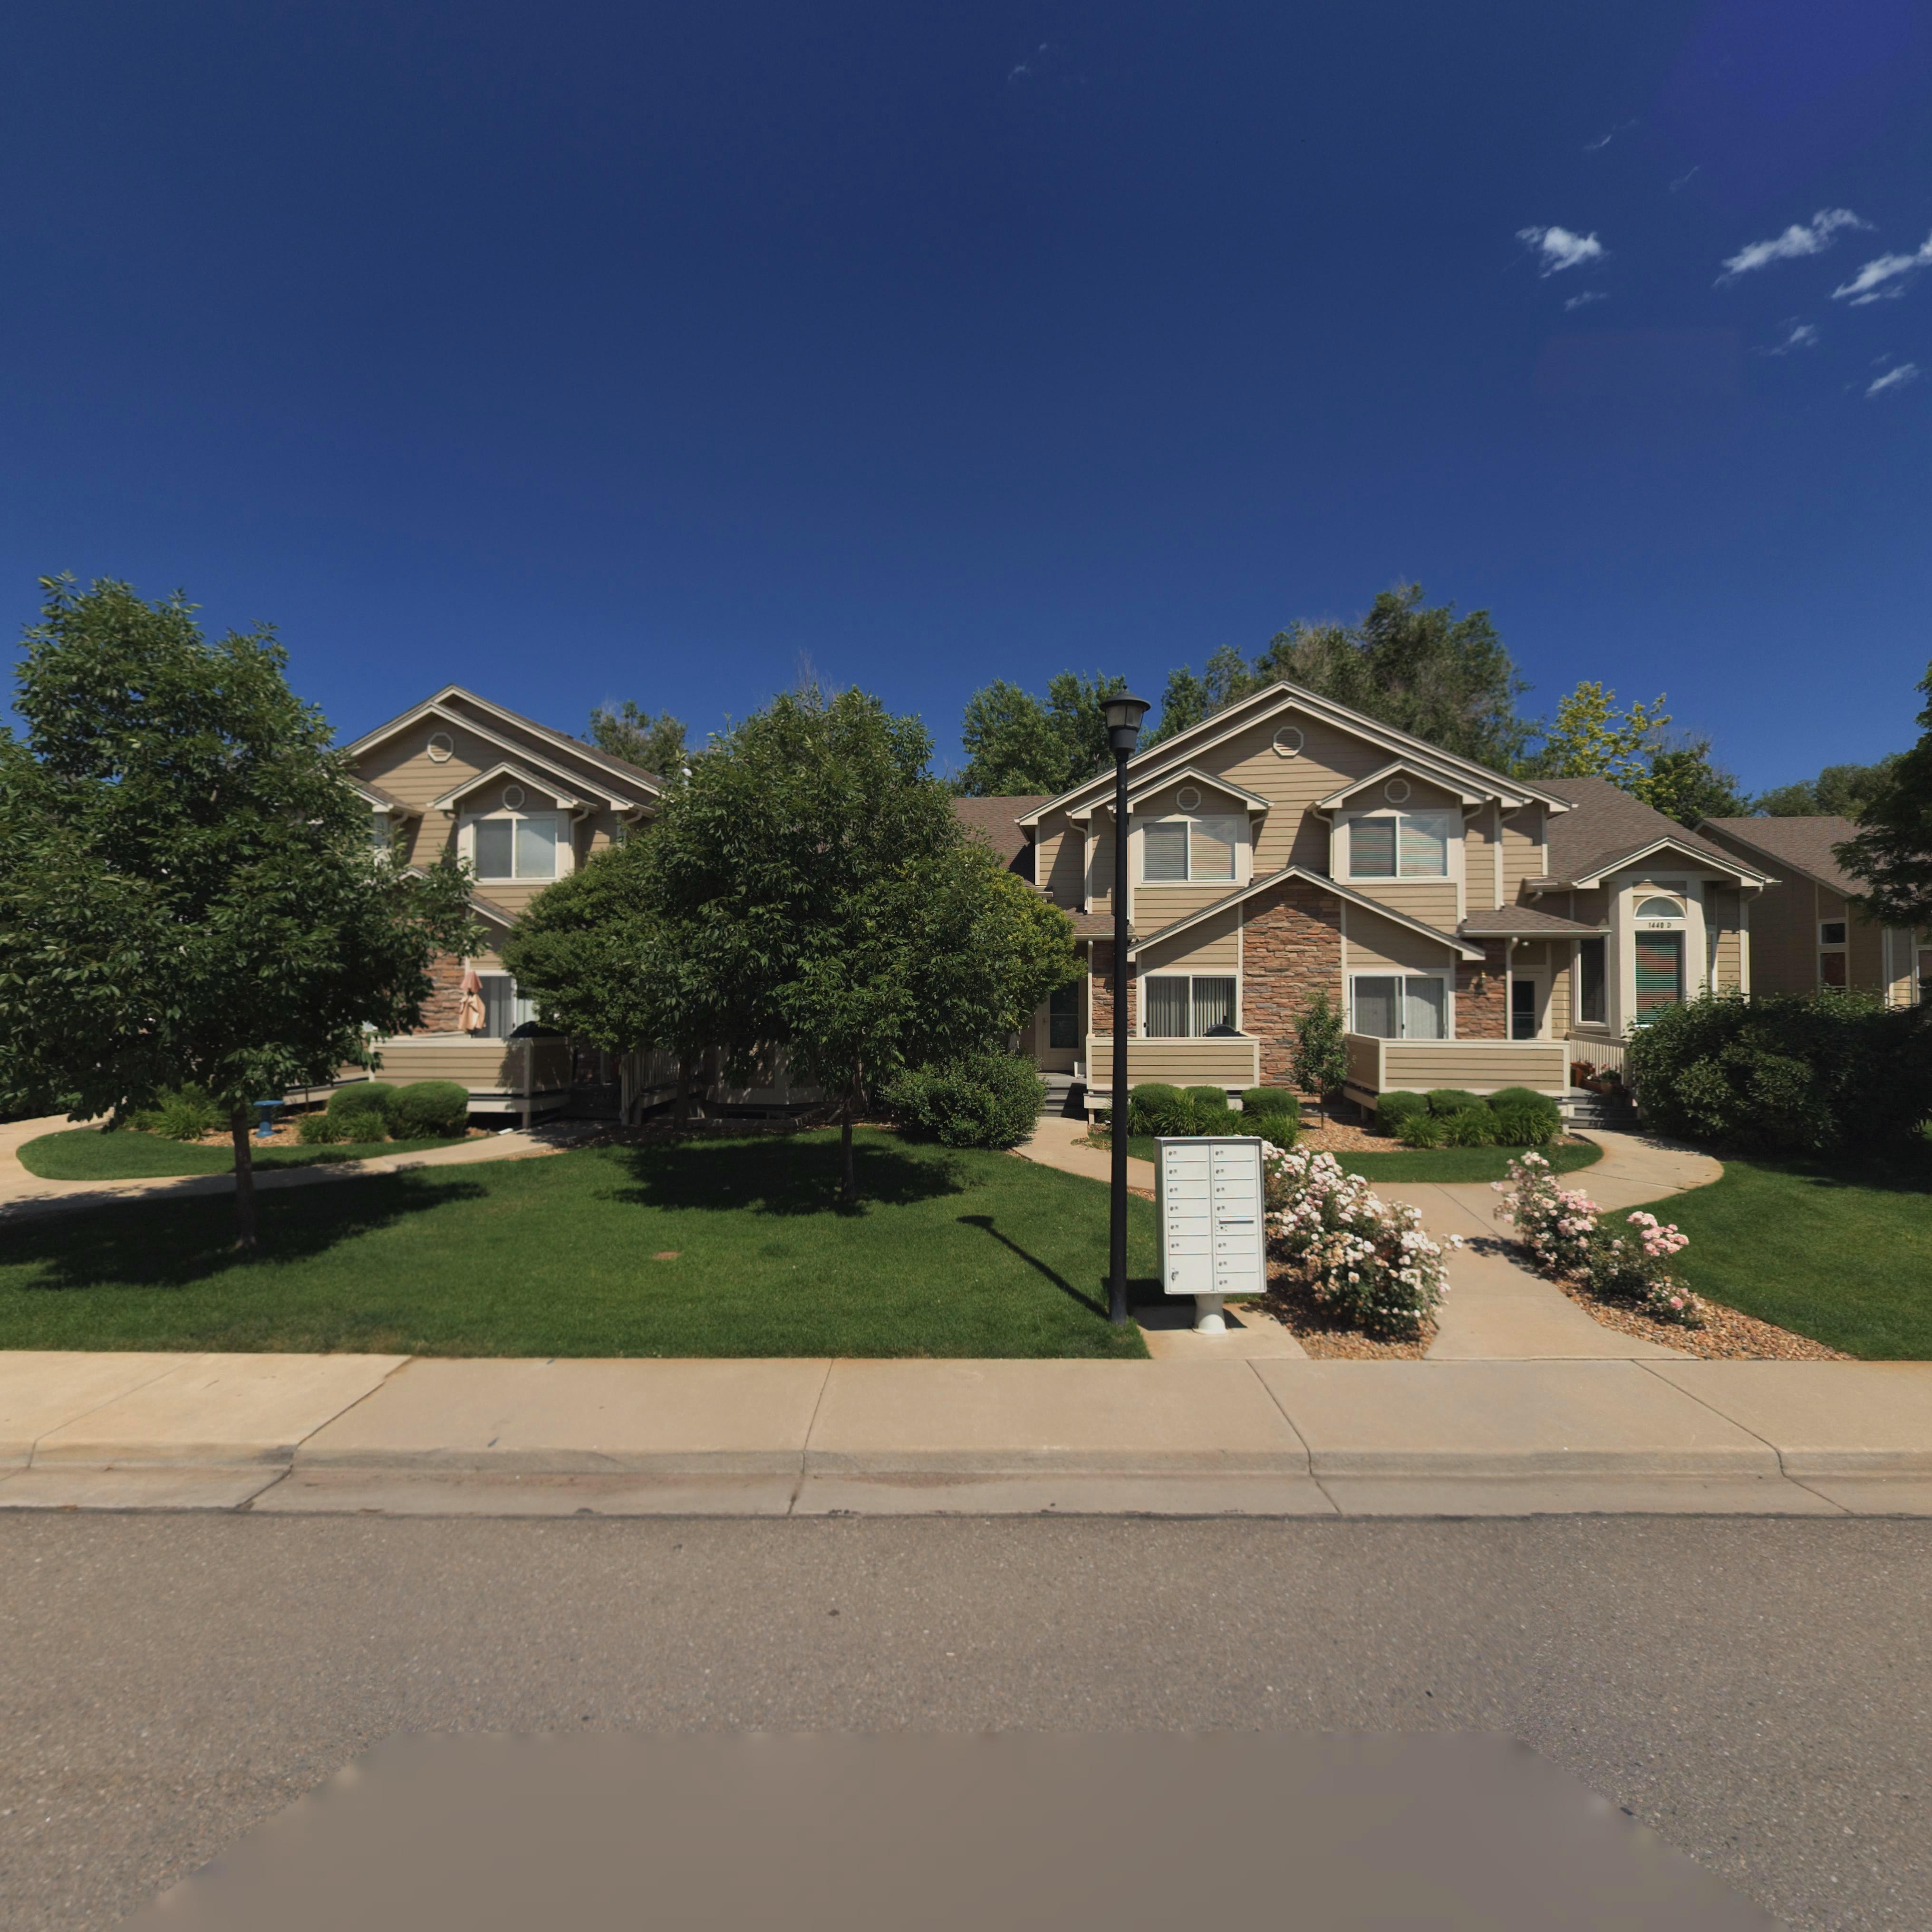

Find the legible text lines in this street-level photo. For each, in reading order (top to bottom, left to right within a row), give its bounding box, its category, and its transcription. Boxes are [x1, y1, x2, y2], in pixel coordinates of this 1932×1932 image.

[1647, 921, 1664, 928] StreetNumber: 144*
[1666, 921, 1671, 928] SecondaryUnitDesignator: D